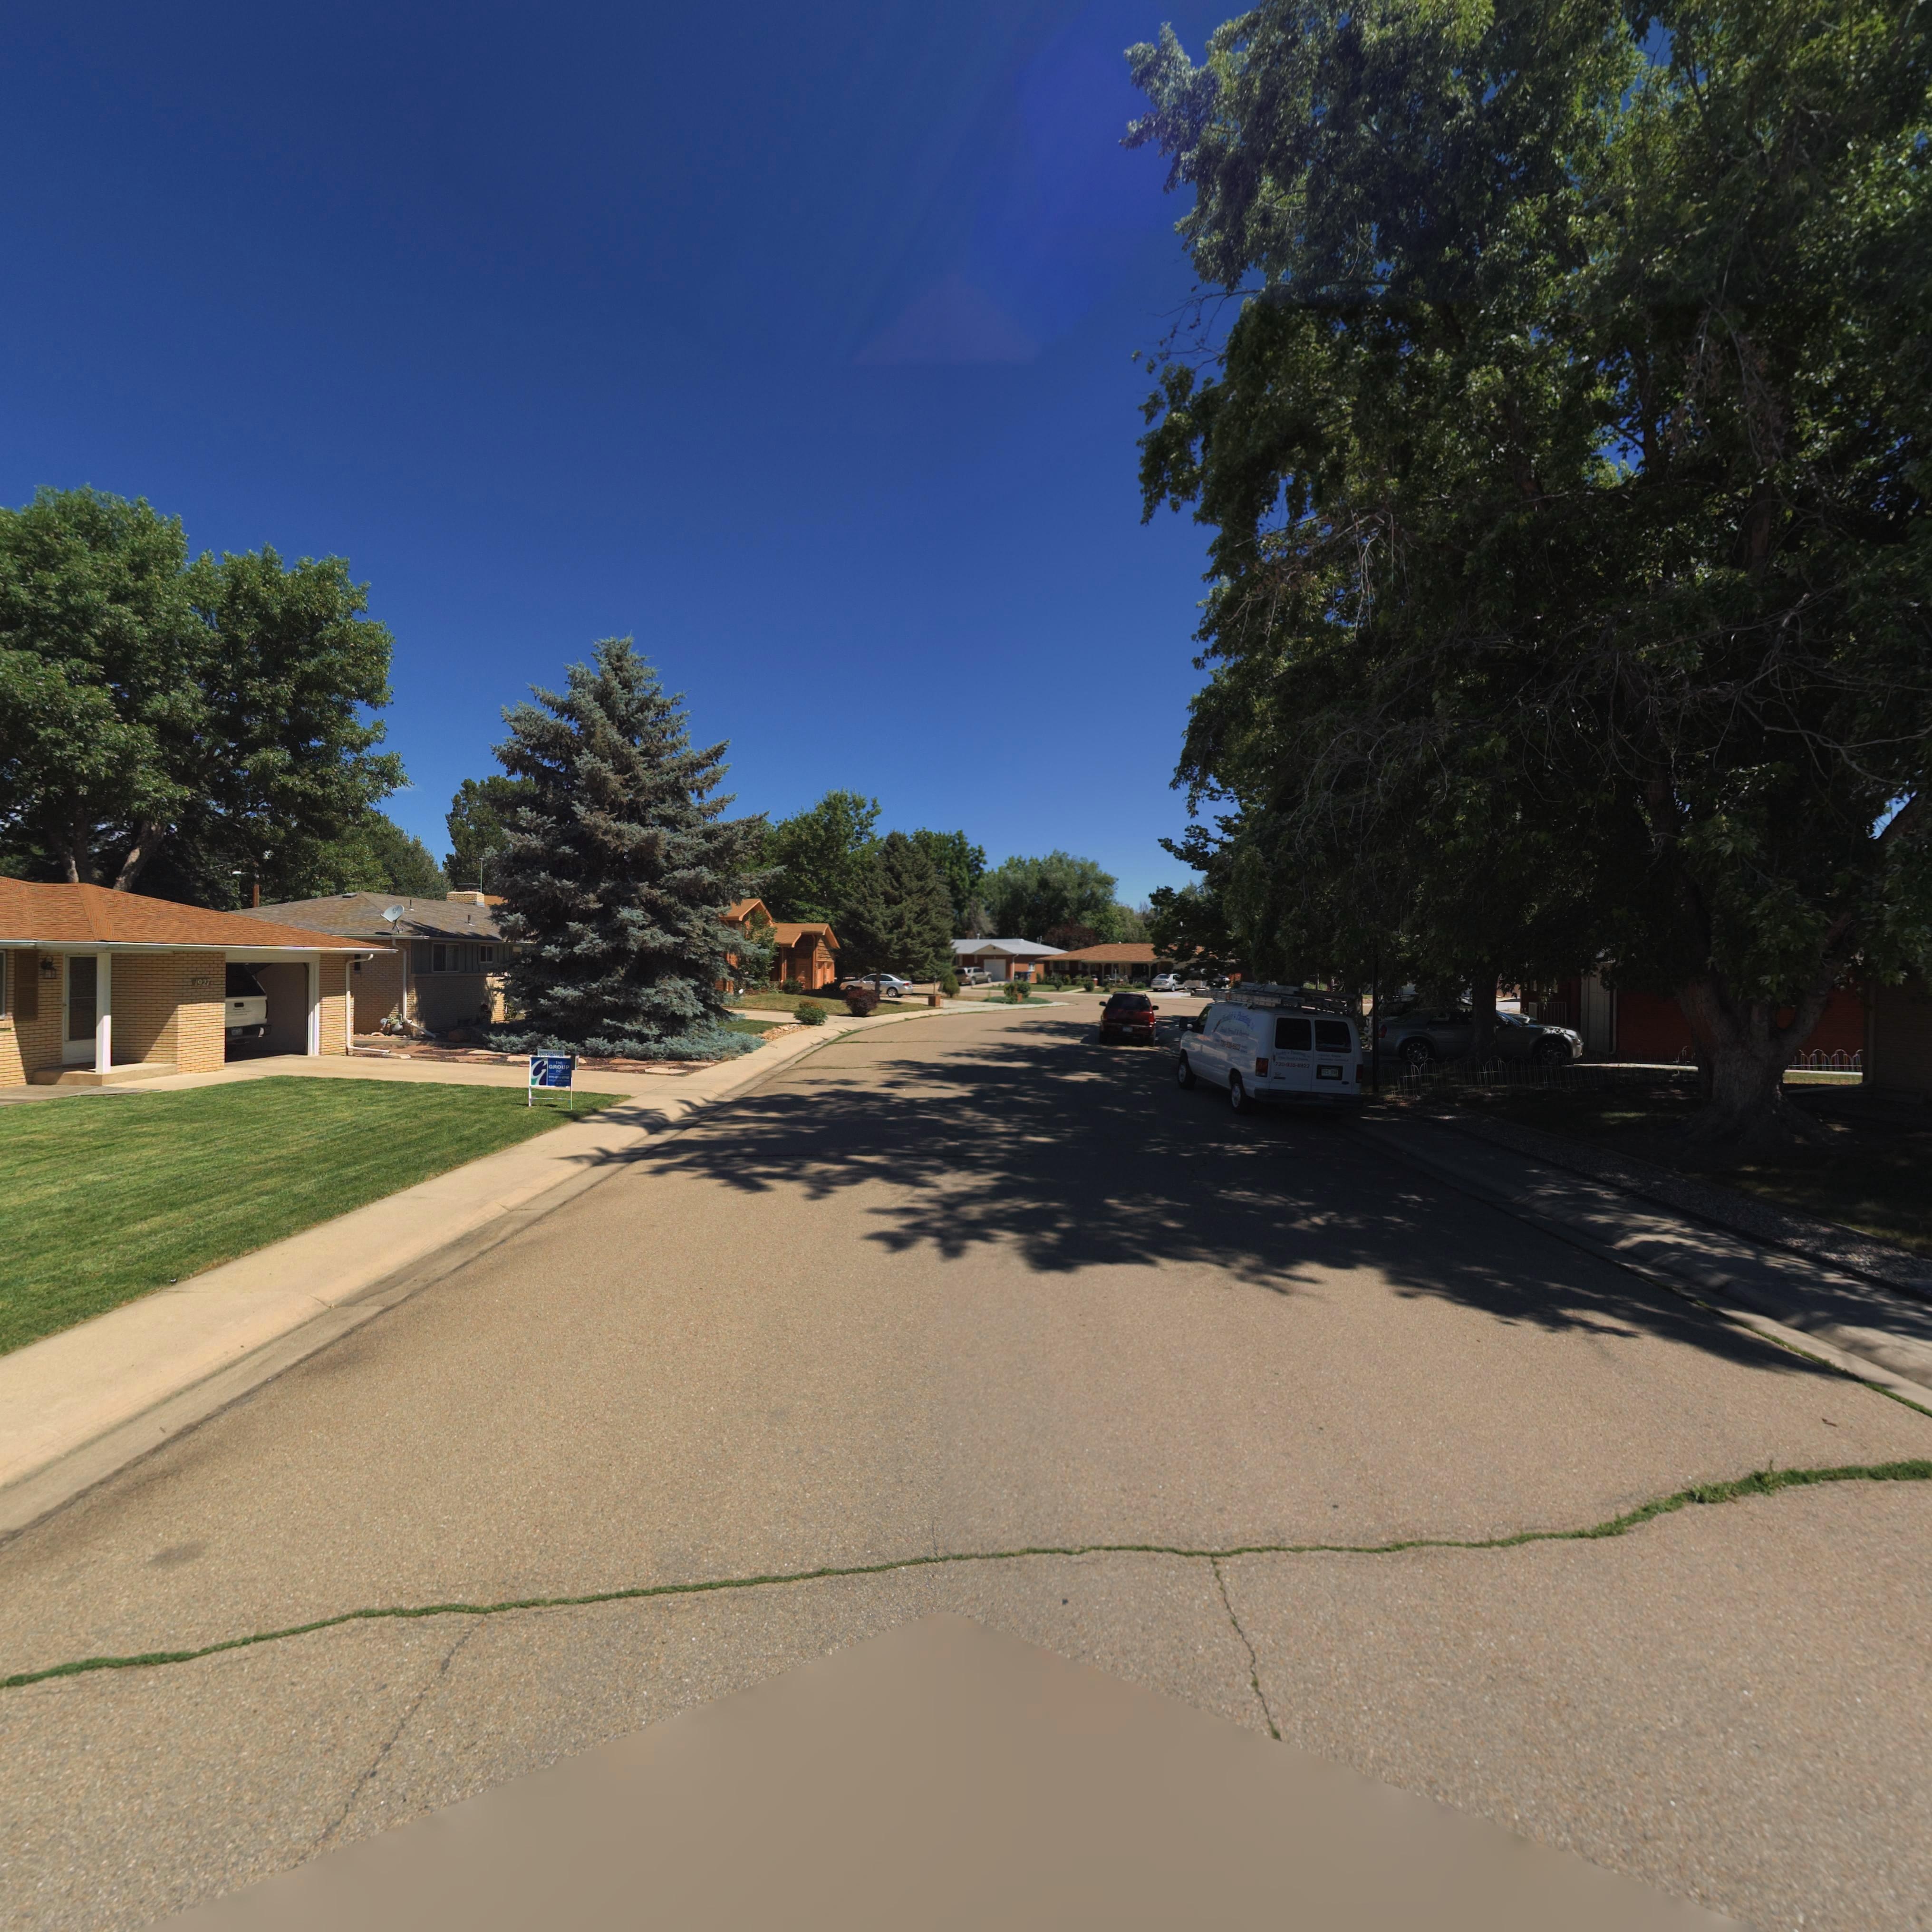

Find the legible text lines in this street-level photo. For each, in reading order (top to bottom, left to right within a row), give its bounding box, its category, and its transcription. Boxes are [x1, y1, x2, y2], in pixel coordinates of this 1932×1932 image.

[194, 978, 212, 987] StreetNumber: 1927